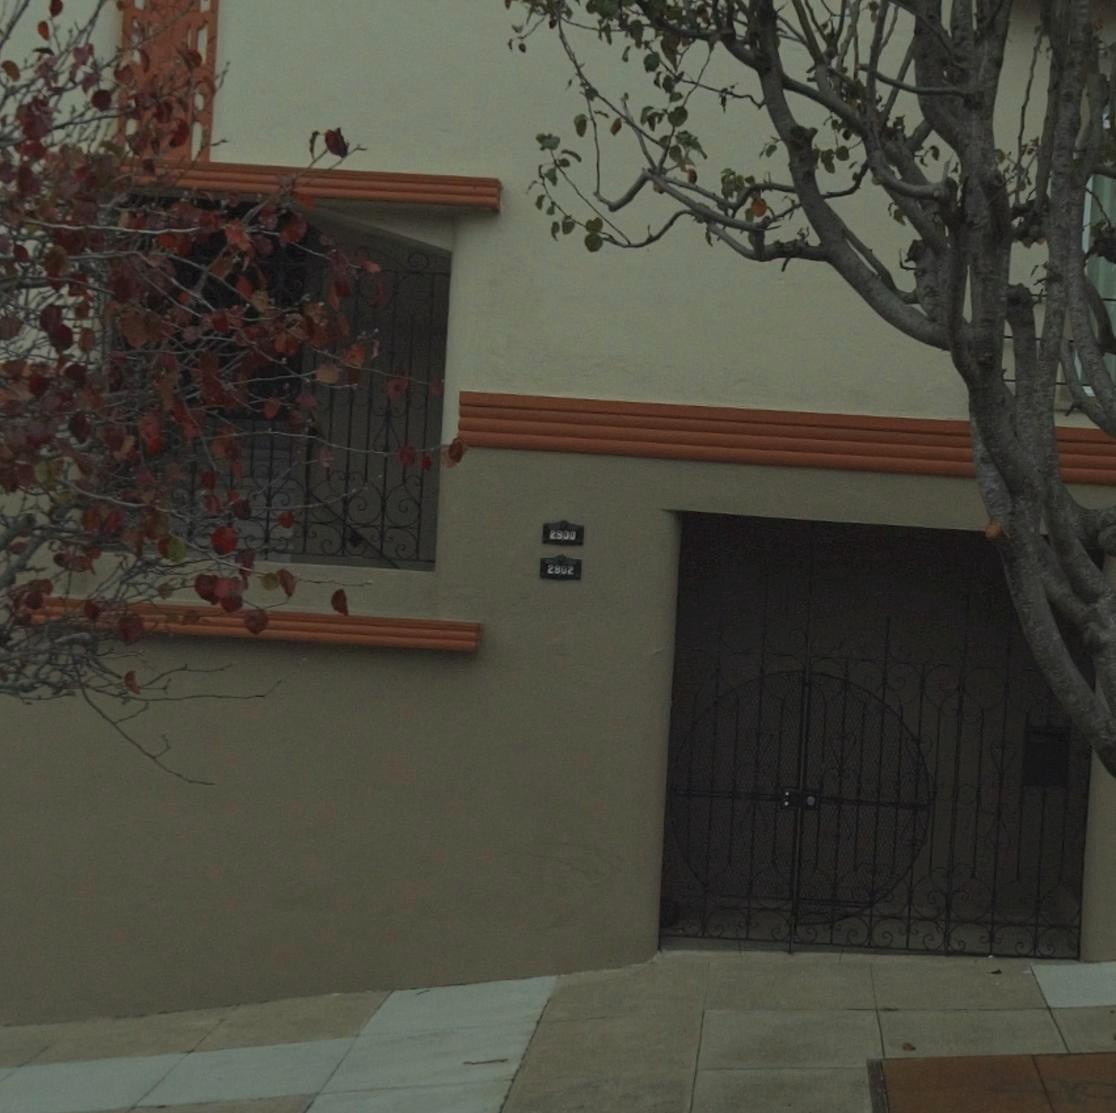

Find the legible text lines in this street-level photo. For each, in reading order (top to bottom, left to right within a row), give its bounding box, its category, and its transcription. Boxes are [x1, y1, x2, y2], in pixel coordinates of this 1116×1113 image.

[548, 528, 577, 541] StreetNumber: 2900
[545, 563, 575, 576] StreetNumber: 2902